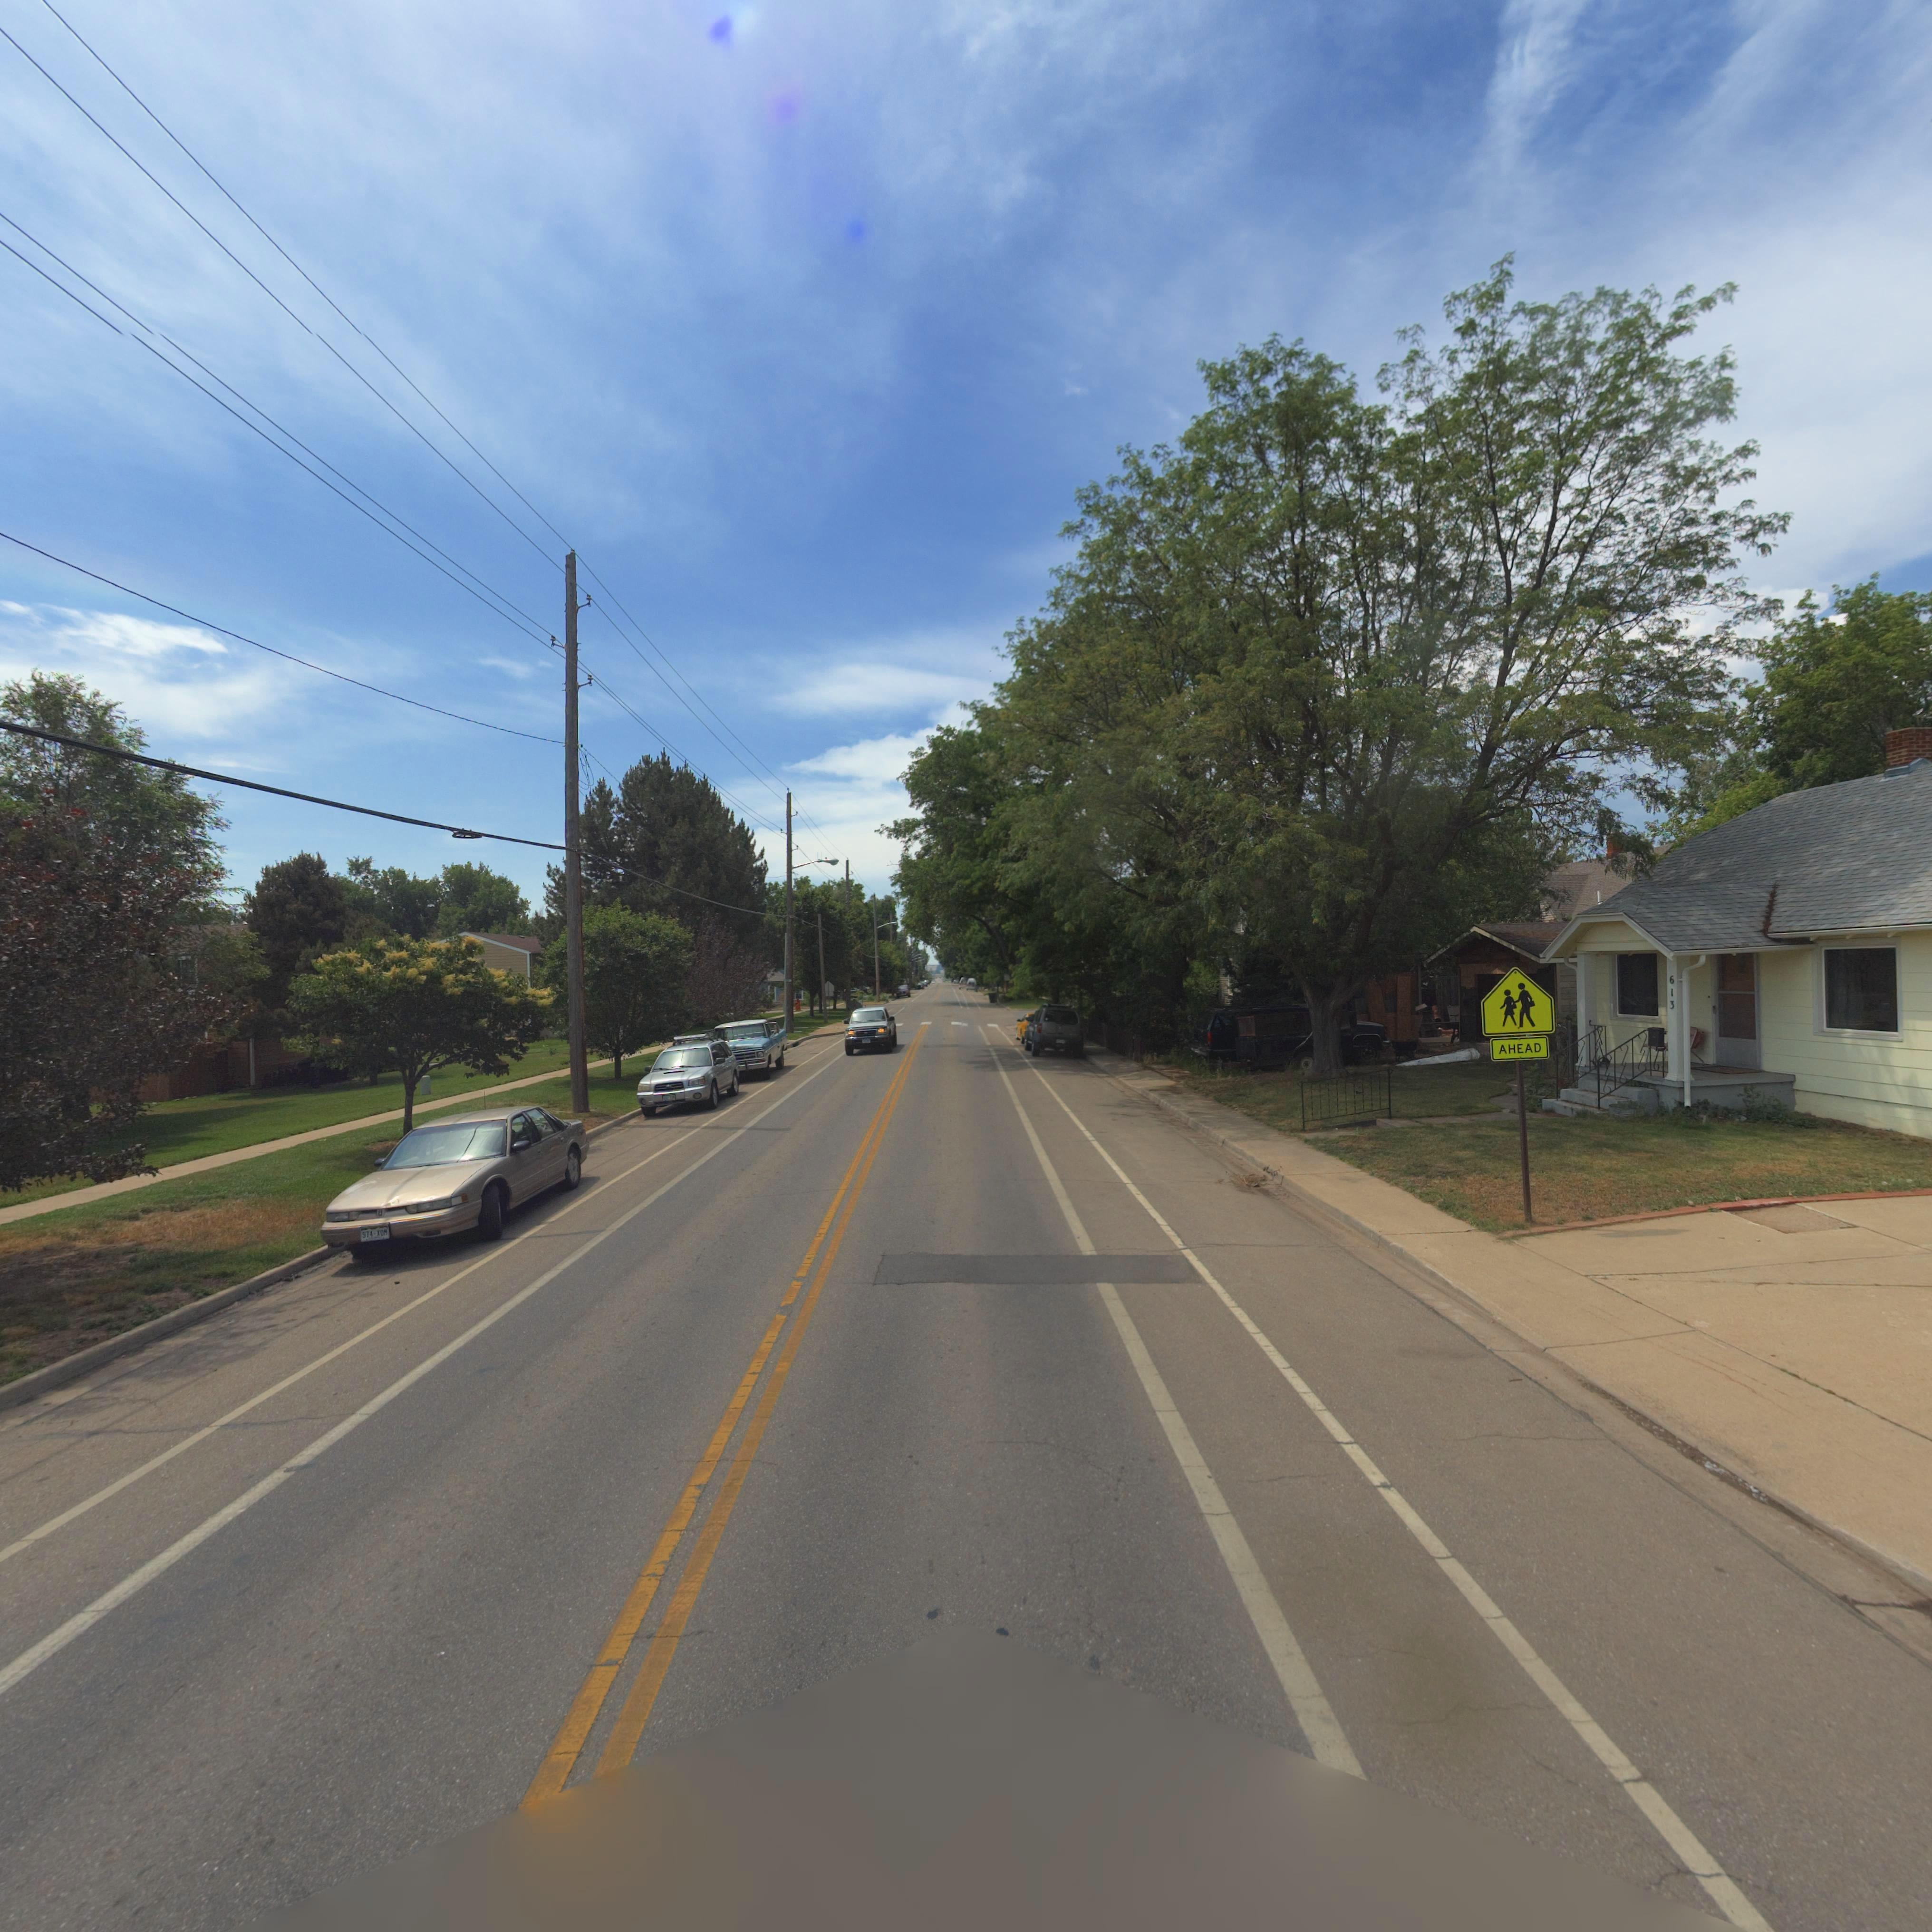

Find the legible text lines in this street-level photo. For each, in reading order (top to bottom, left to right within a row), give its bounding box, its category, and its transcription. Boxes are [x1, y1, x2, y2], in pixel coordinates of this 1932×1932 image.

[1669, 975, 1674, 1009] StreetNumber: 613